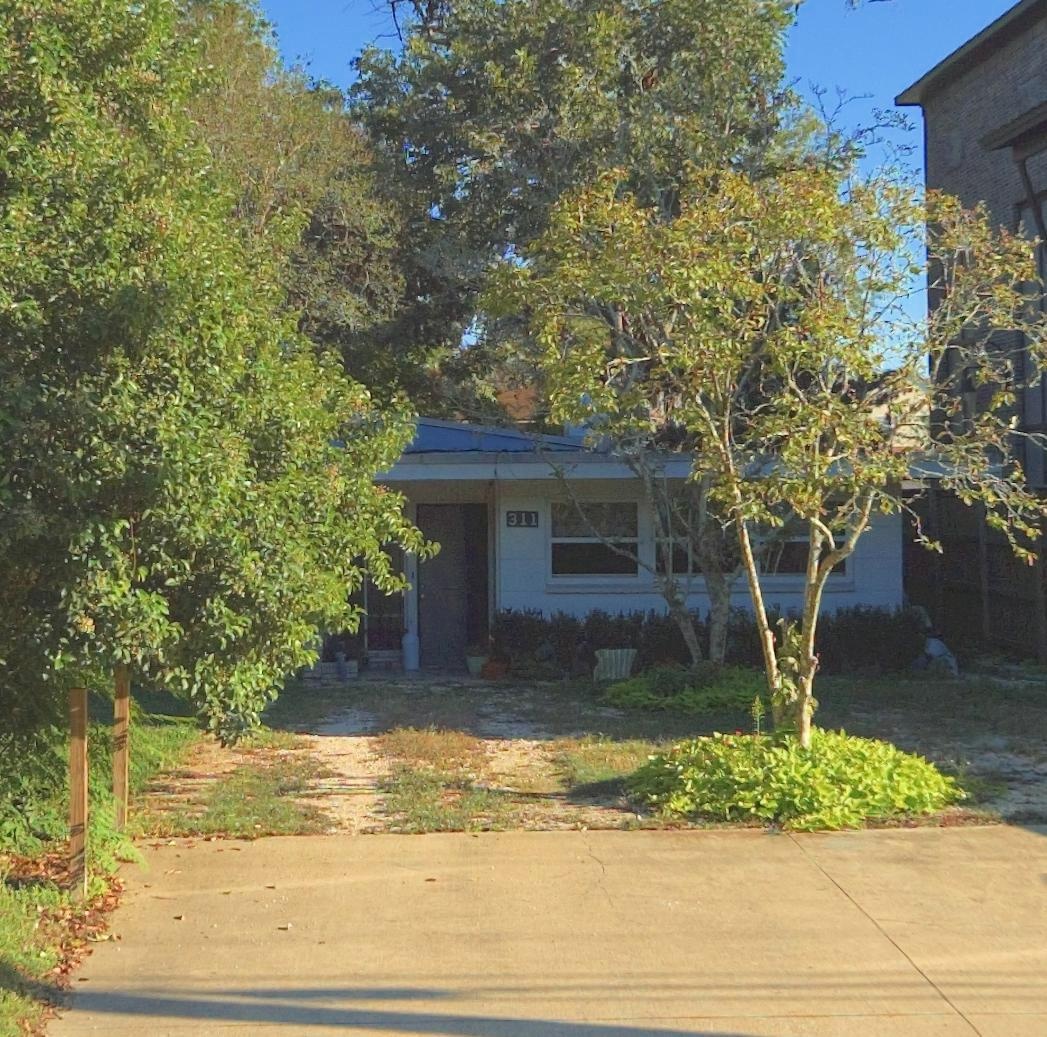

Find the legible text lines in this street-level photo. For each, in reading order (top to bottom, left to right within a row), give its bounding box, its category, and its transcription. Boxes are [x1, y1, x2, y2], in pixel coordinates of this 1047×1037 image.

[506, 510, 538, 528] StreetNumber: 311